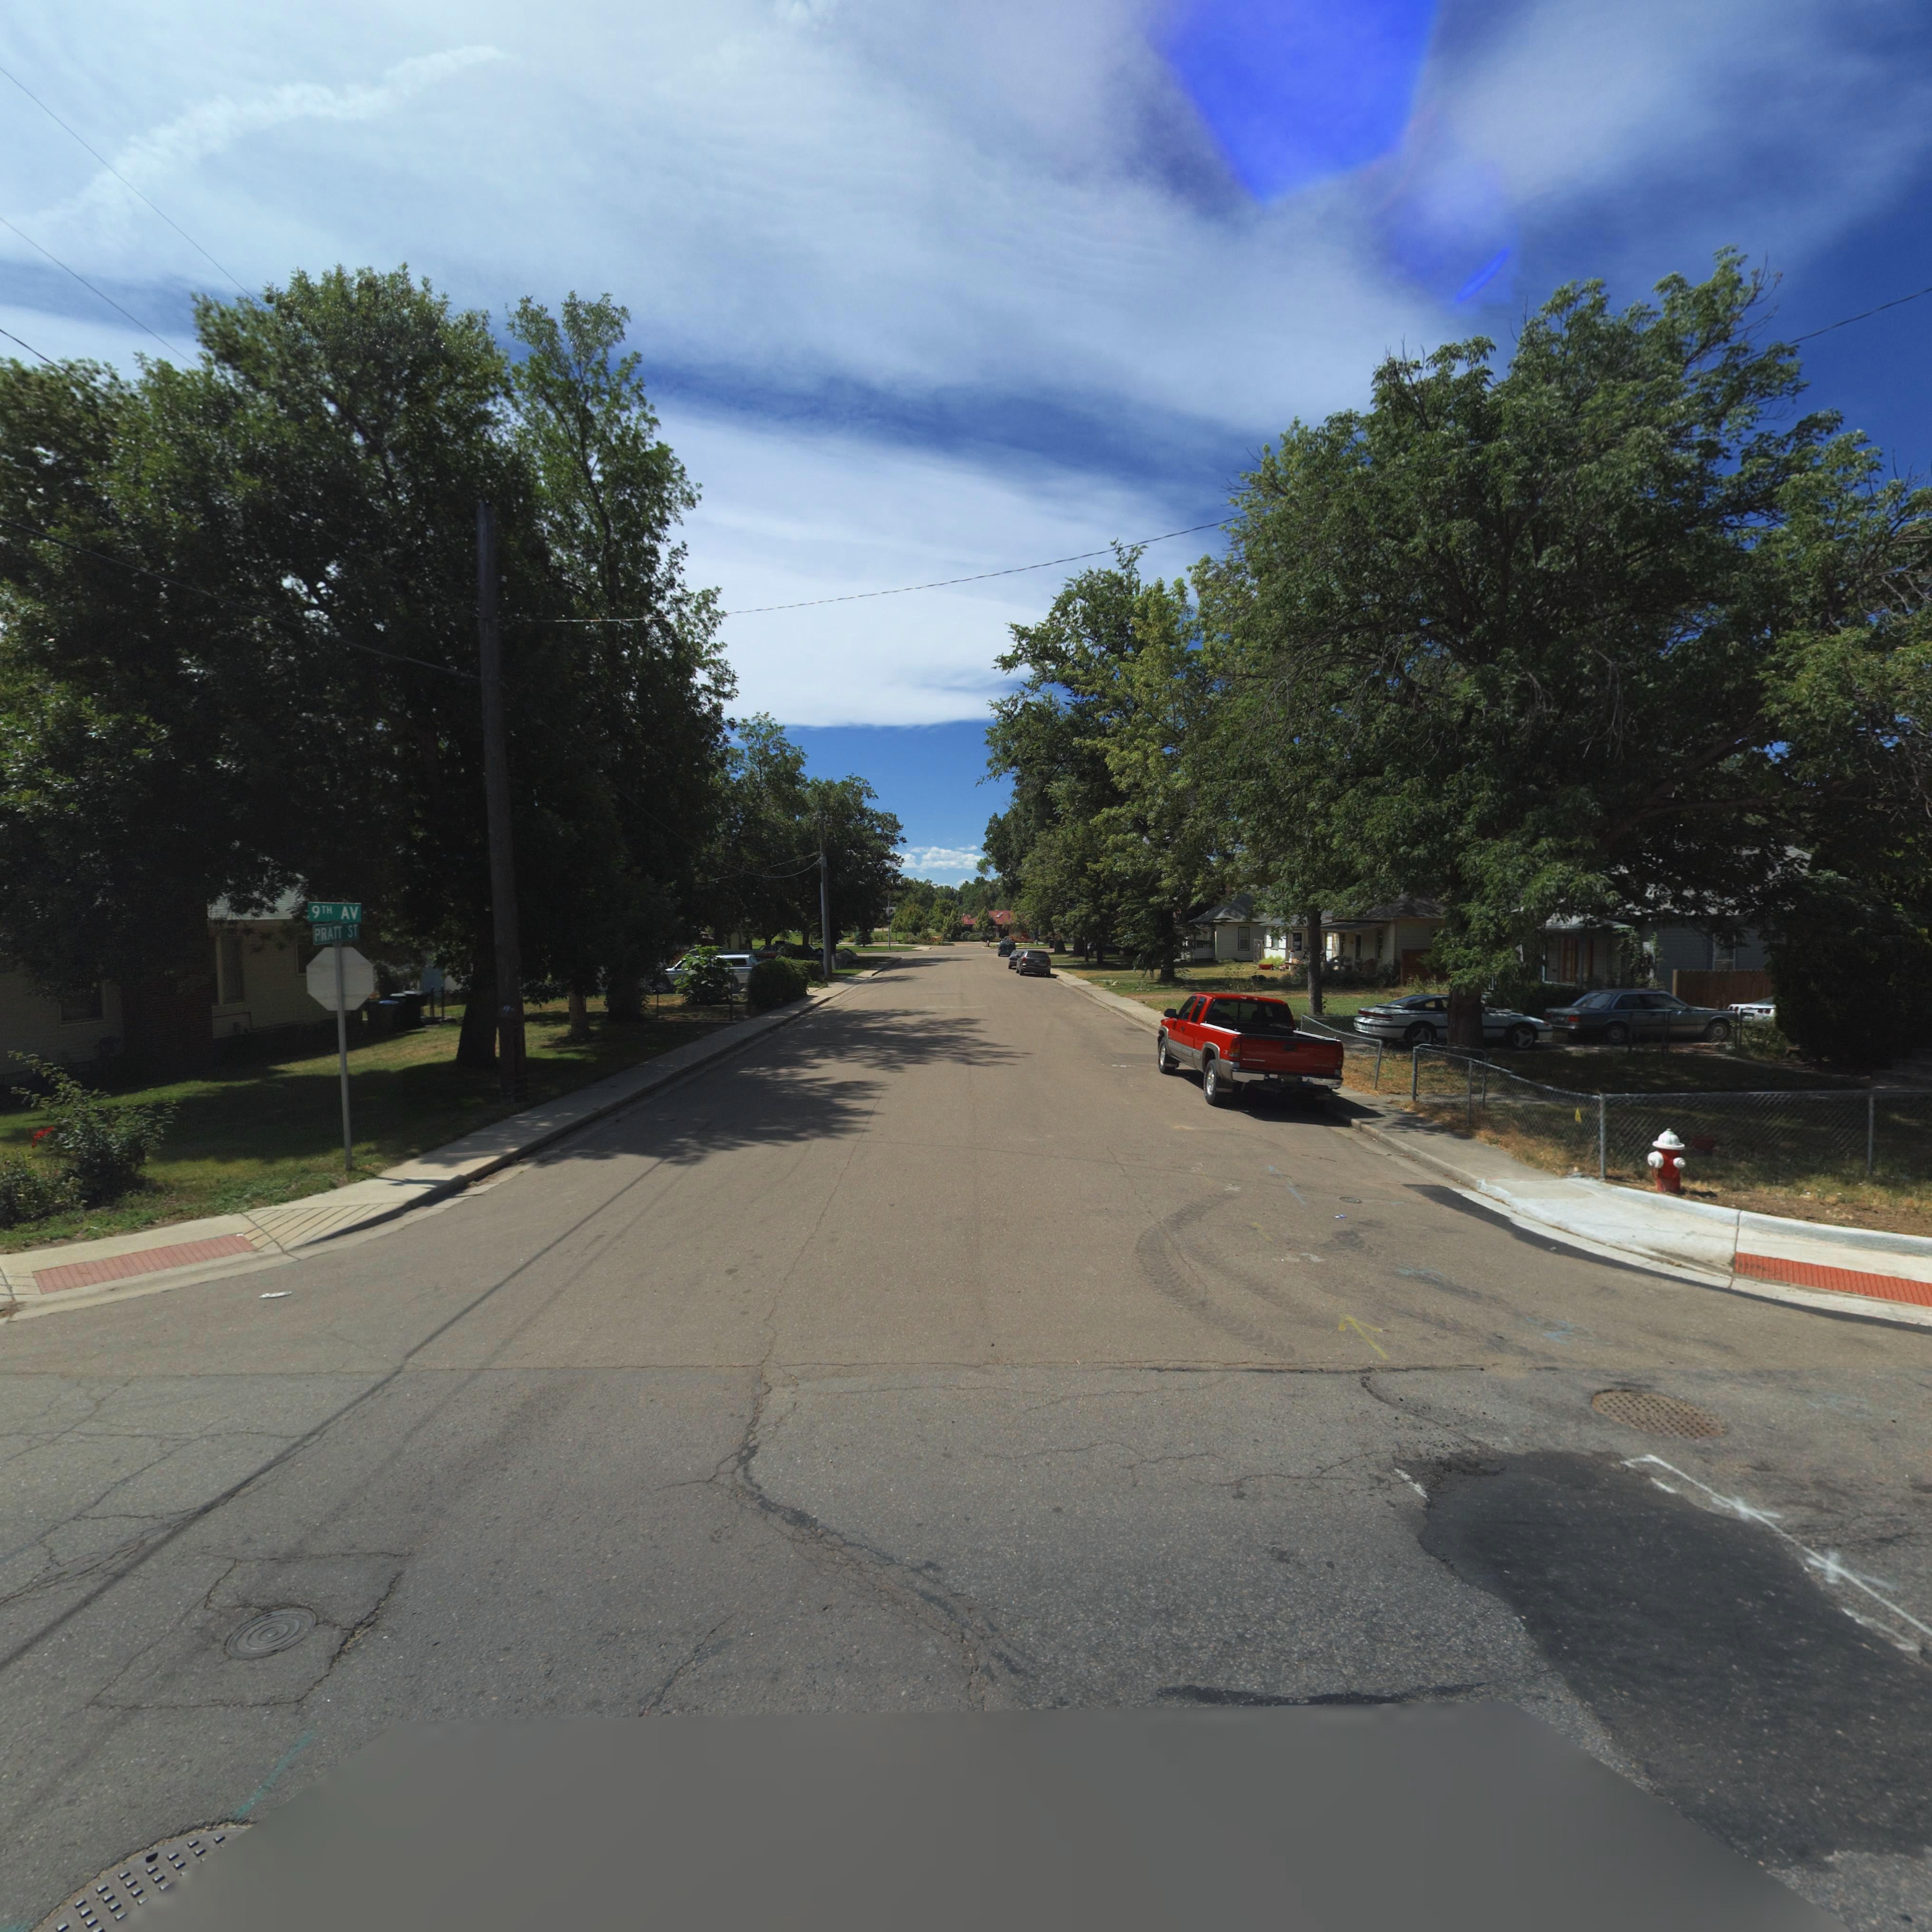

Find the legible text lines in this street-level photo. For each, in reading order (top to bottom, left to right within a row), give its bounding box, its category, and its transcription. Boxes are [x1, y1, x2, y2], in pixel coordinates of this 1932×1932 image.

[311, 904, 360, 920] StreetName: 9TH AV
[314, 923, 358, 943] StreetName: PRATT ST